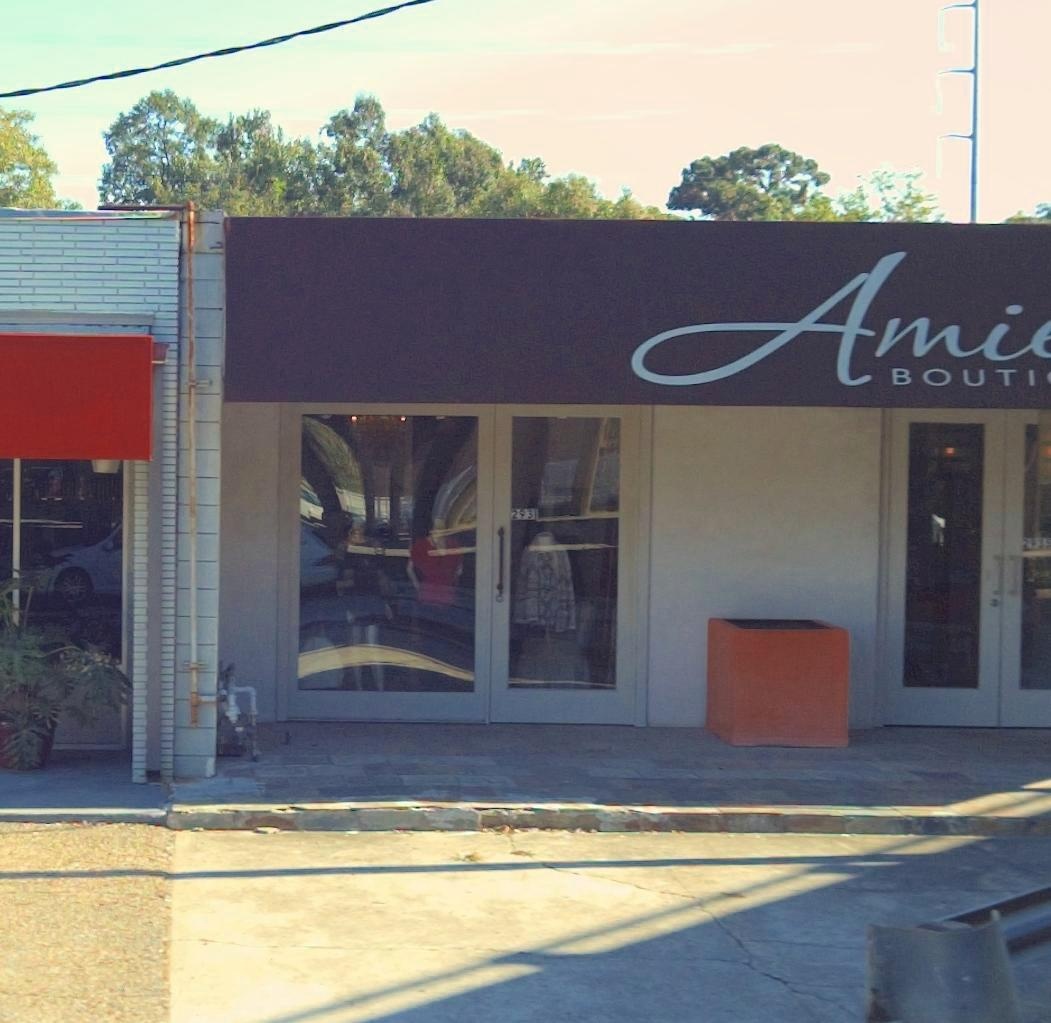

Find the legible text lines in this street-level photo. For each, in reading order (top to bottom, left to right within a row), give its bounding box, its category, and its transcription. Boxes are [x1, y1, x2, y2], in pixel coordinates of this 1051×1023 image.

[706, 245, 1037, 396] BusinessName: Ami
[887, 364, 1040, 391] BusinessName: BOUTI
[508, 507, 535, 522] StreetNumber: 293
[1019, 537, 1051, 553] None: 2933